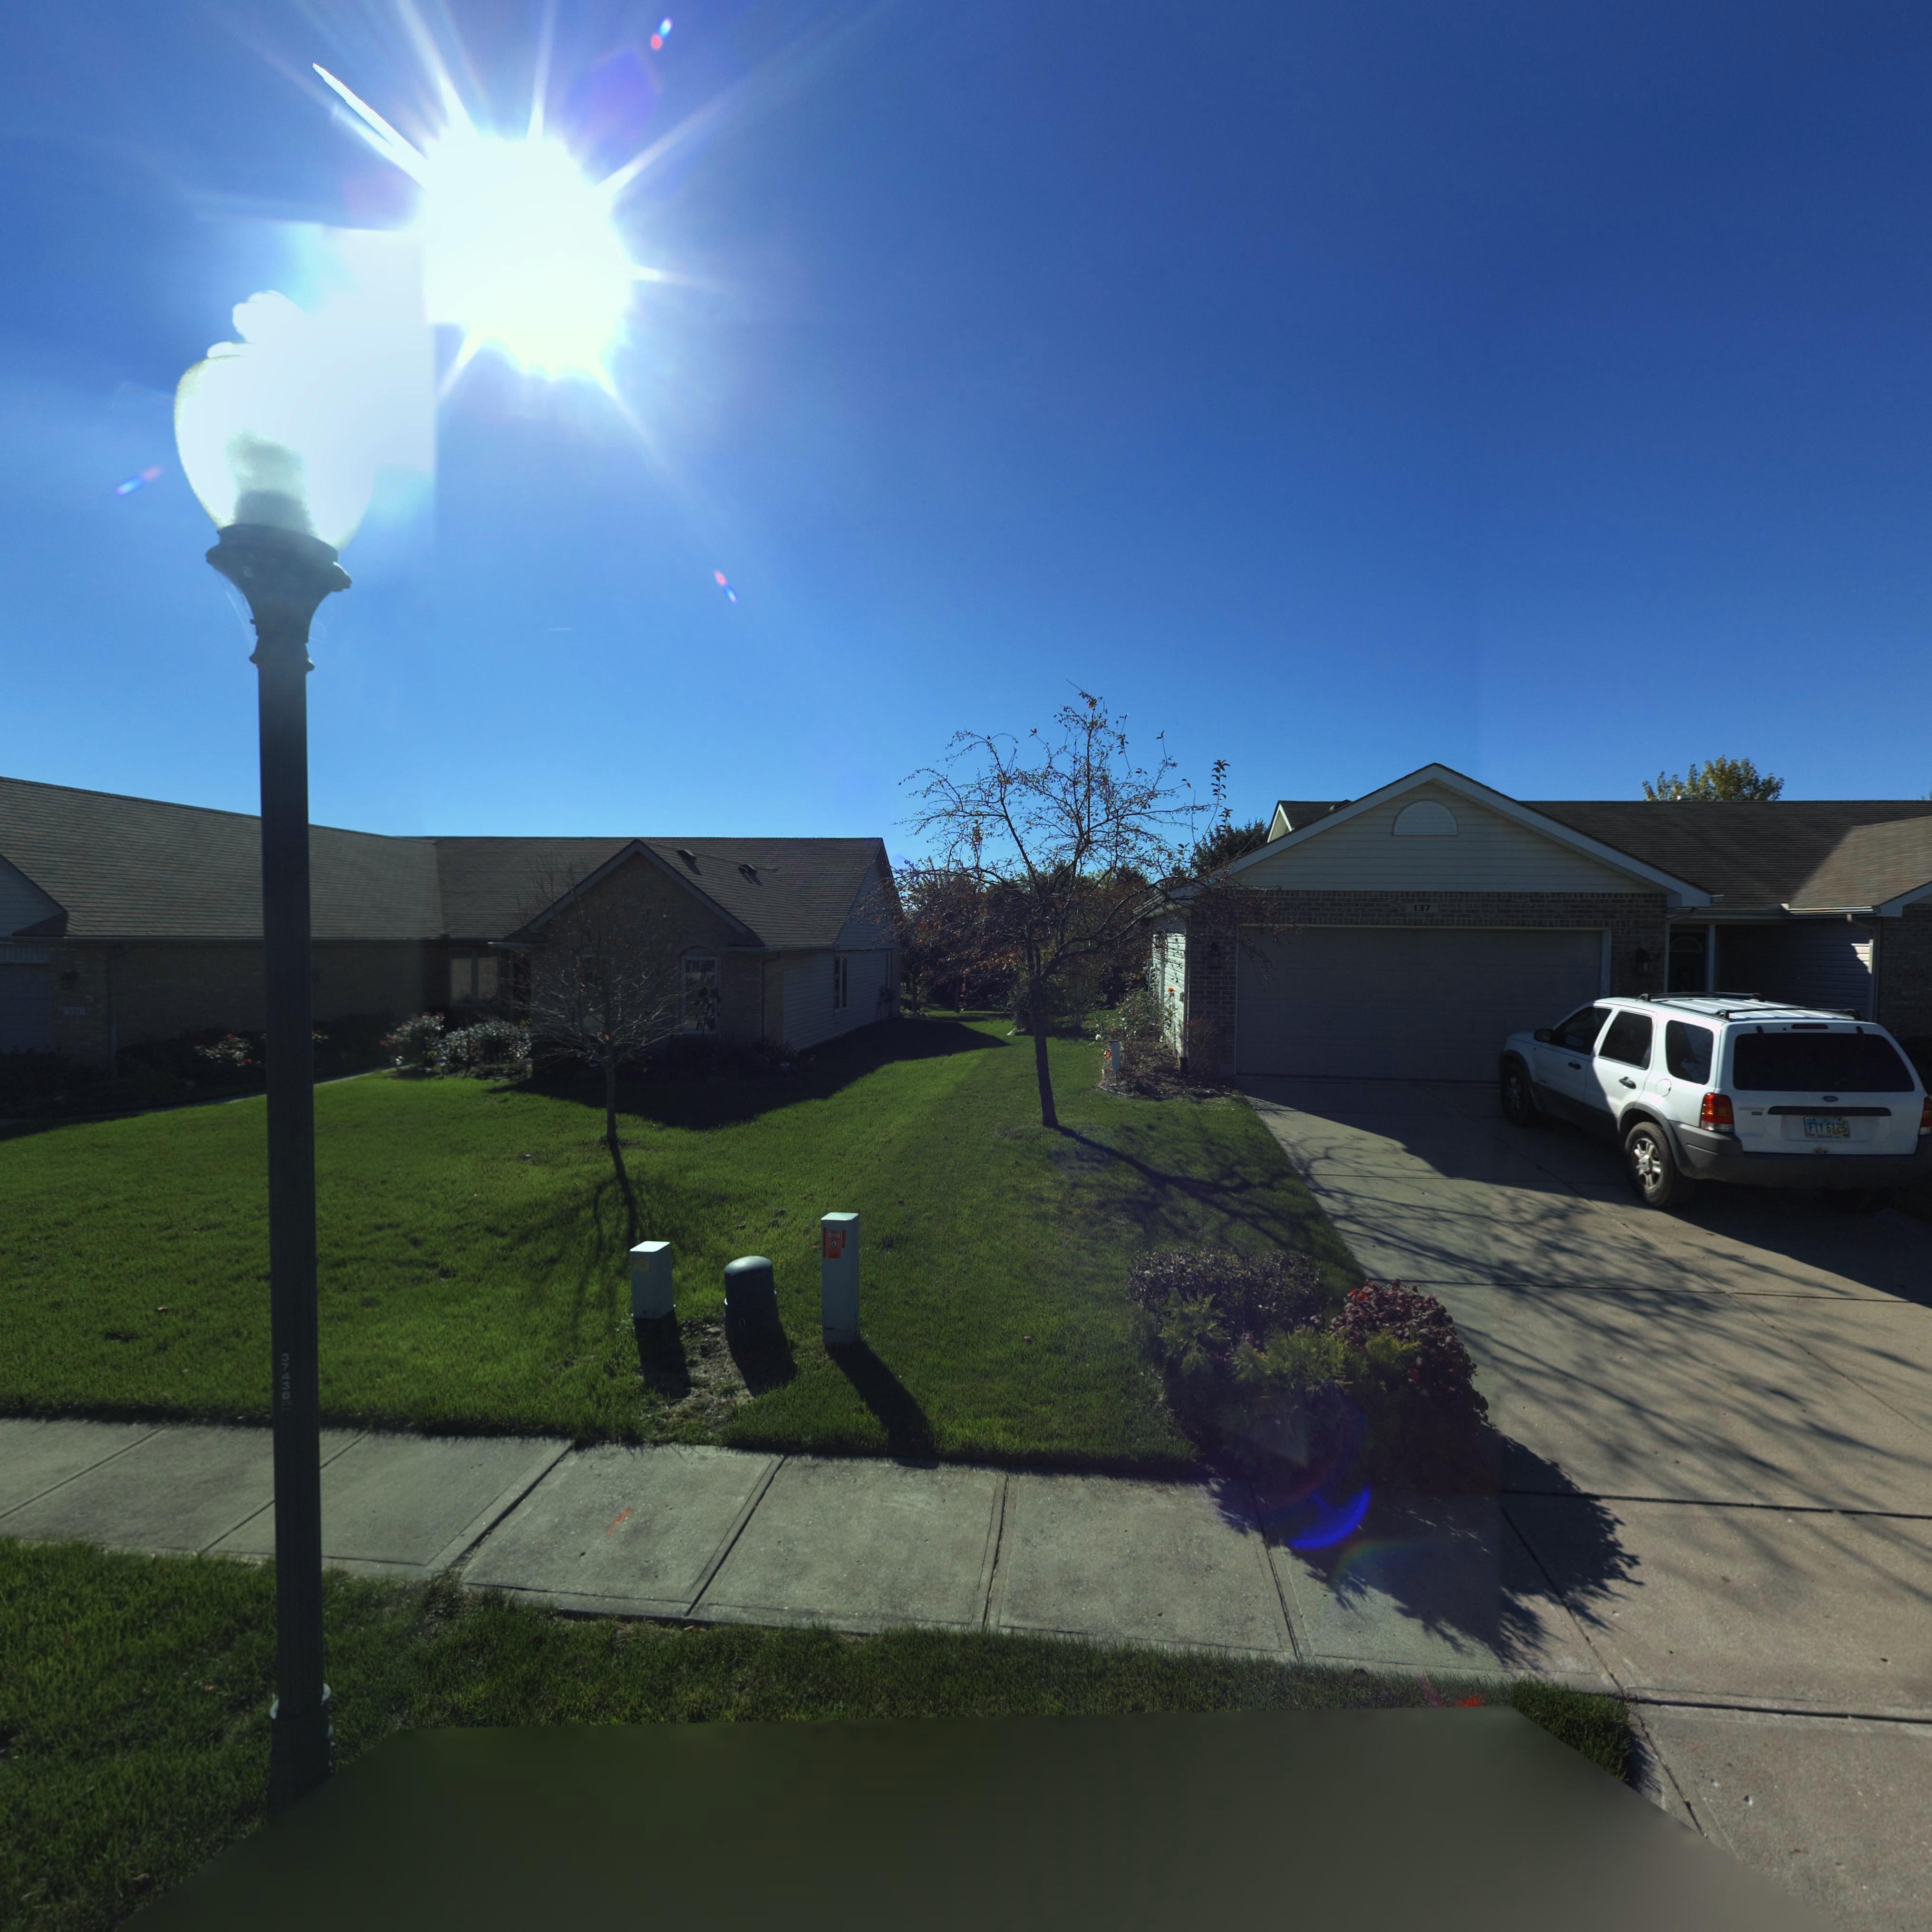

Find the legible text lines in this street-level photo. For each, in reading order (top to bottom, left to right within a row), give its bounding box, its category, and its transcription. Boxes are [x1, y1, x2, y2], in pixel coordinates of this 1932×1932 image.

[1413, 904, 1431, 911] StreetNumber: 137
[68, 1007, 80, 1015] StreetNumber: 13*
[1808, 1120, 1847, 1135] None: FIY 6125